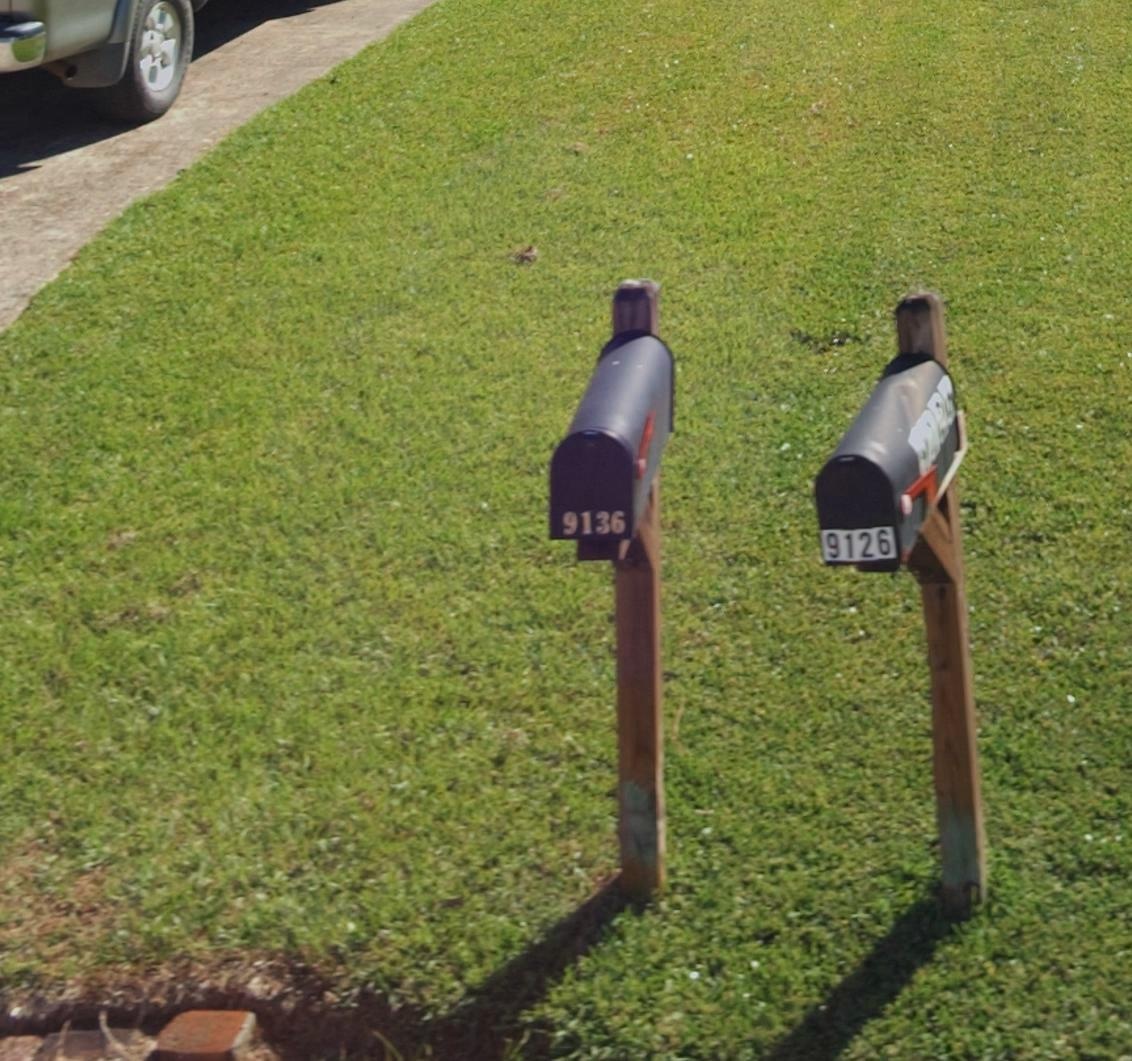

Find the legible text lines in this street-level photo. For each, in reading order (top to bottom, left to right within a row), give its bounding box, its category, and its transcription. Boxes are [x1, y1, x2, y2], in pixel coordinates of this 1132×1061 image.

[560, 508, 628, 538] StreetNumber: 9136
[822, 526, 896, 562] StreetNumber: 9126